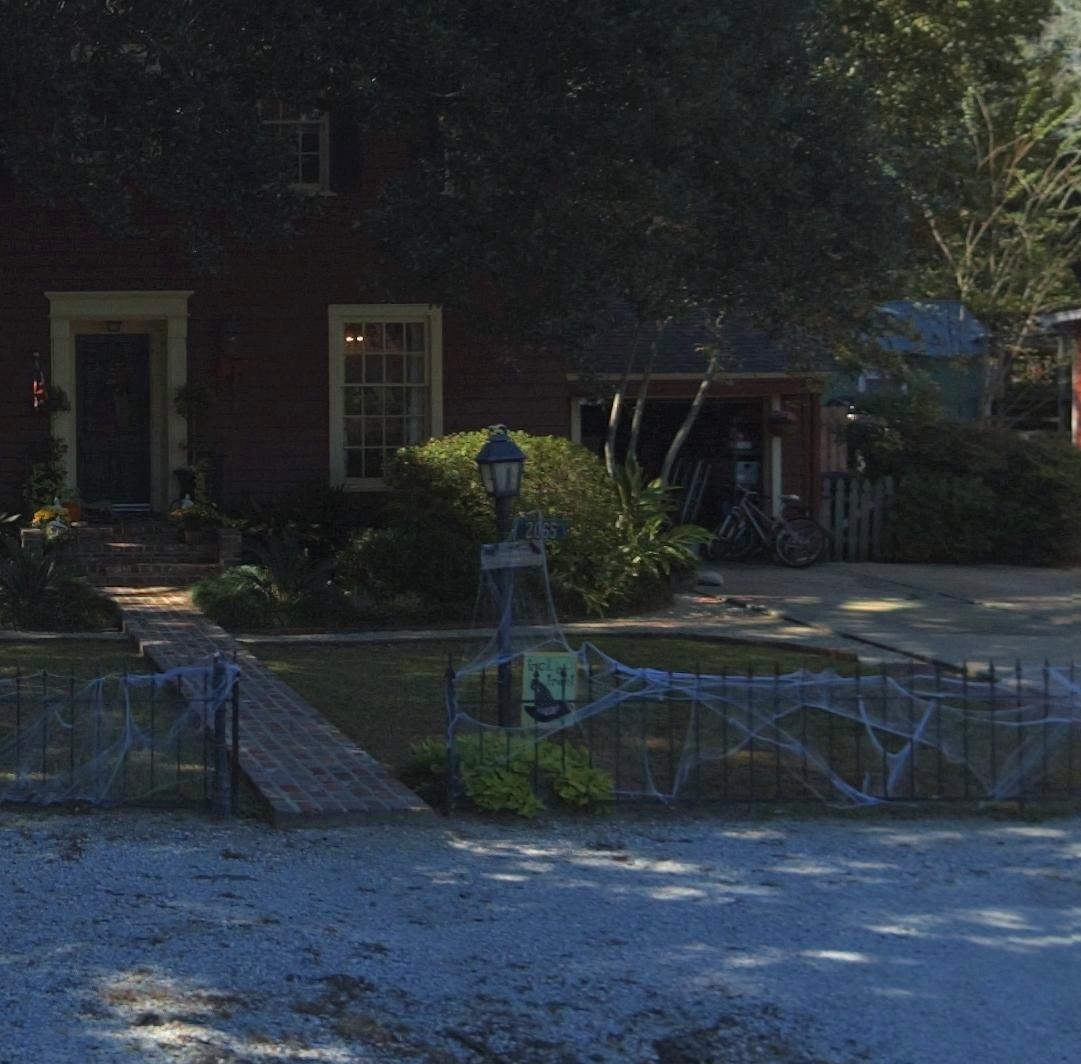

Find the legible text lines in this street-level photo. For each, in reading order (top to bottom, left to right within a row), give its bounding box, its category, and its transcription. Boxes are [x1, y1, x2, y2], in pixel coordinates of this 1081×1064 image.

[523, 520, 559, 541] StreetNumber: 2065